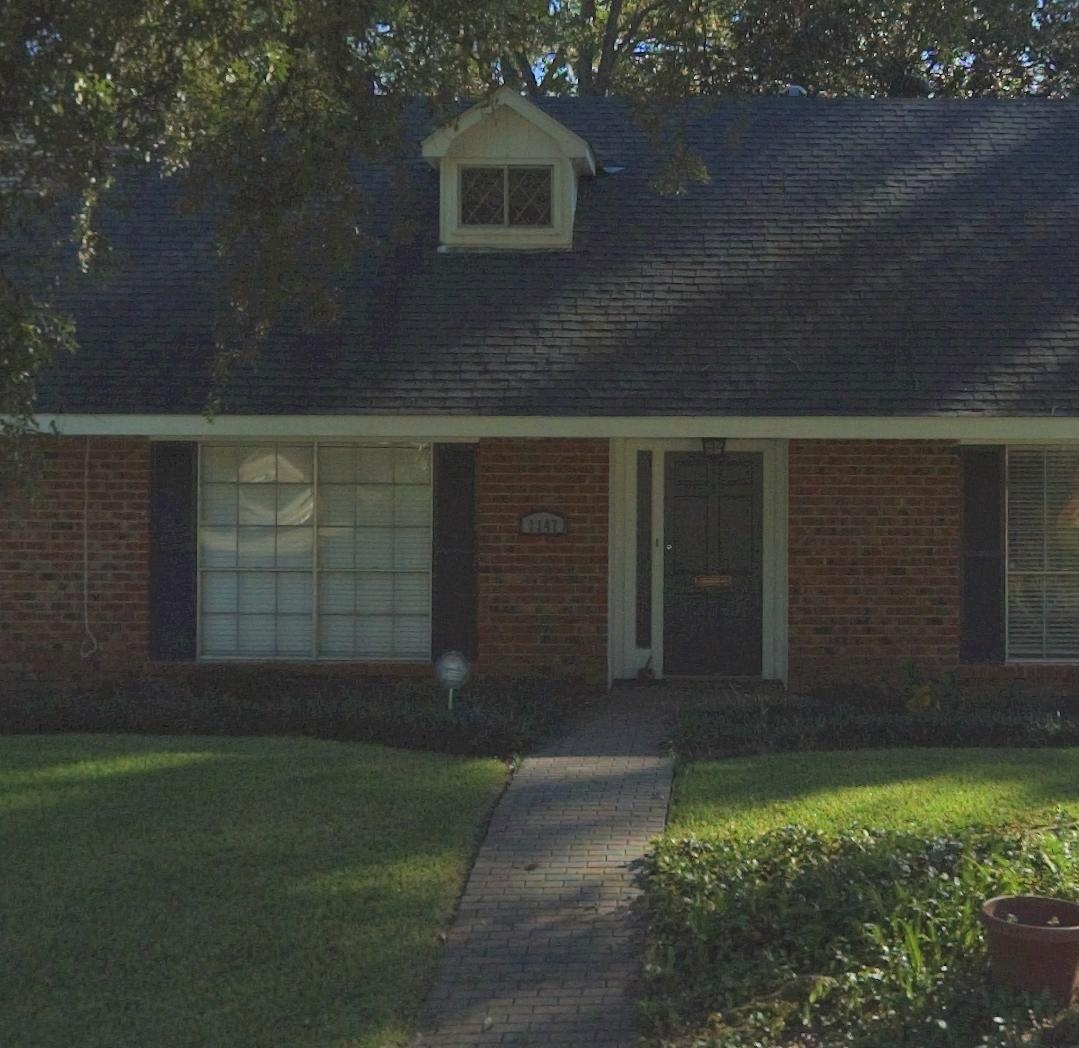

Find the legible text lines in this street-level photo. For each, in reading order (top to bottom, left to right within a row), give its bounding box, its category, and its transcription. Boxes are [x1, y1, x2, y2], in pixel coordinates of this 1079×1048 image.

[527, 517, 560, 535] StreetNumber: 1147